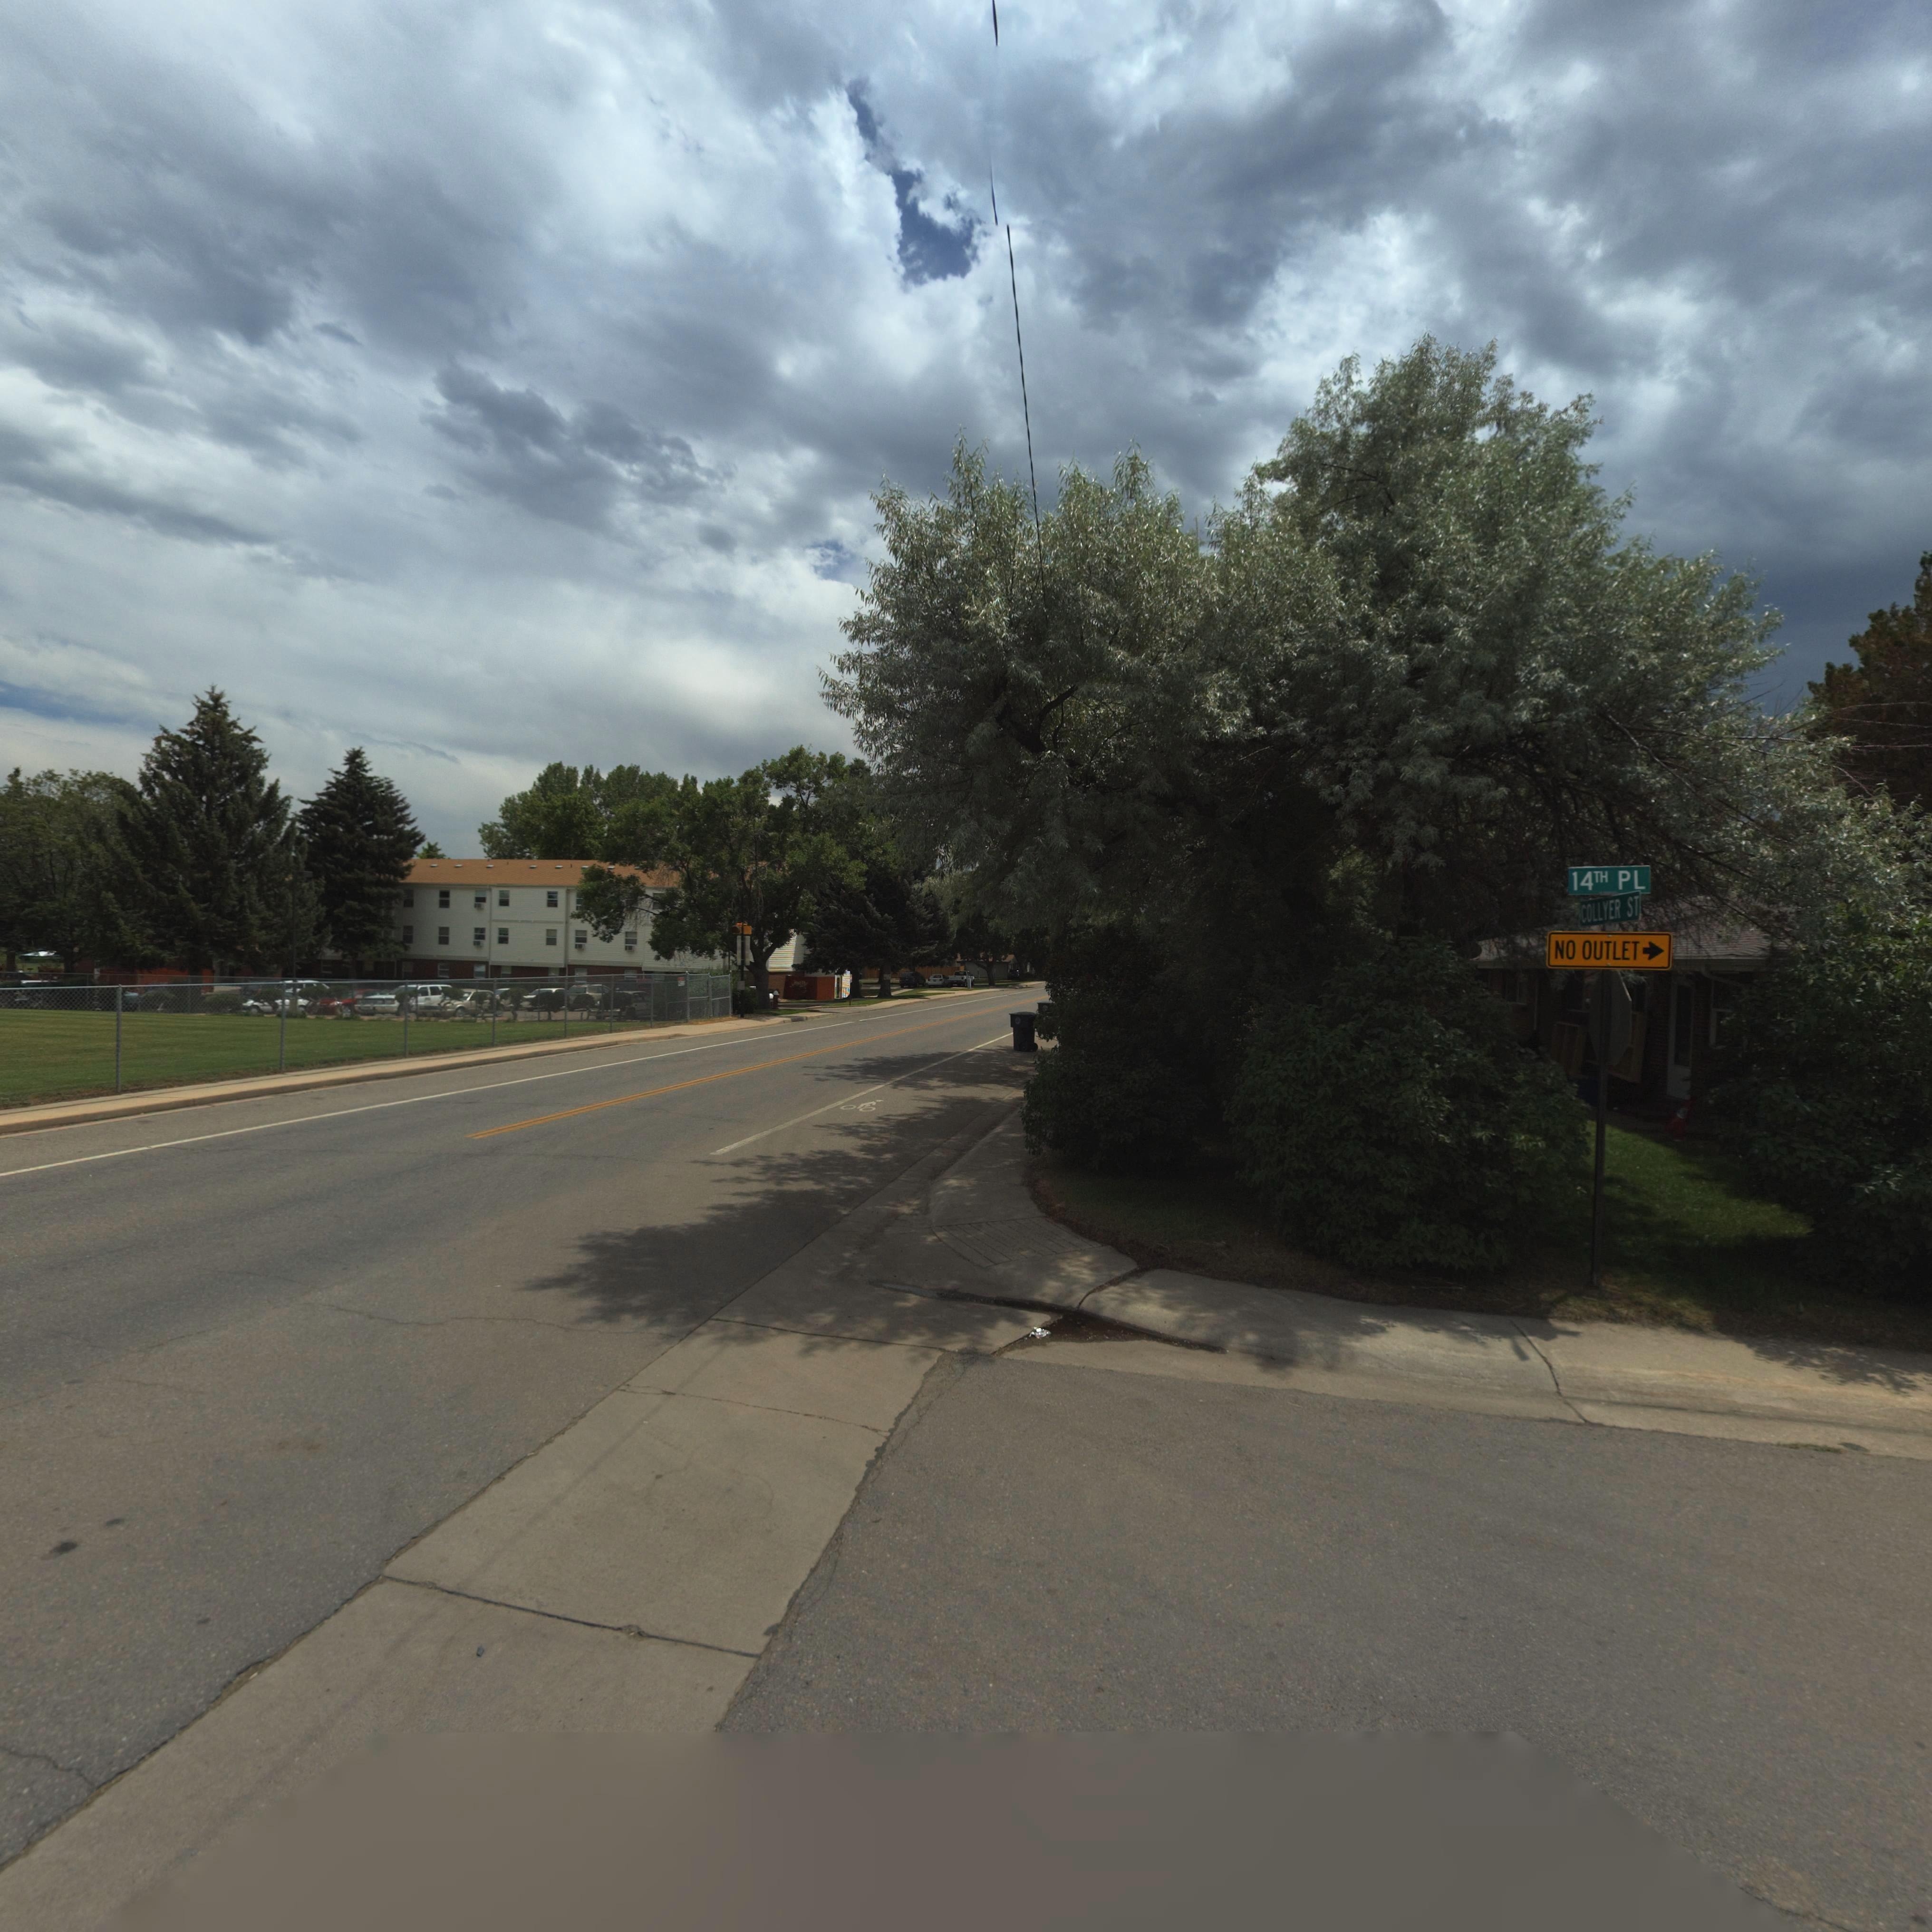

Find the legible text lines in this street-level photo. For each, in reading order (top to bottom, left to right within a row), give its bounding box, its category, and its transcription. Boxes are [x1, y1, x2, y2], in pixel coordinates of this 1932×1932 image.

[1572, 870, 1645, 890] StreetName: 14TH PL
[1580, 895, 1639, 923] StreetName: COLLYER ST